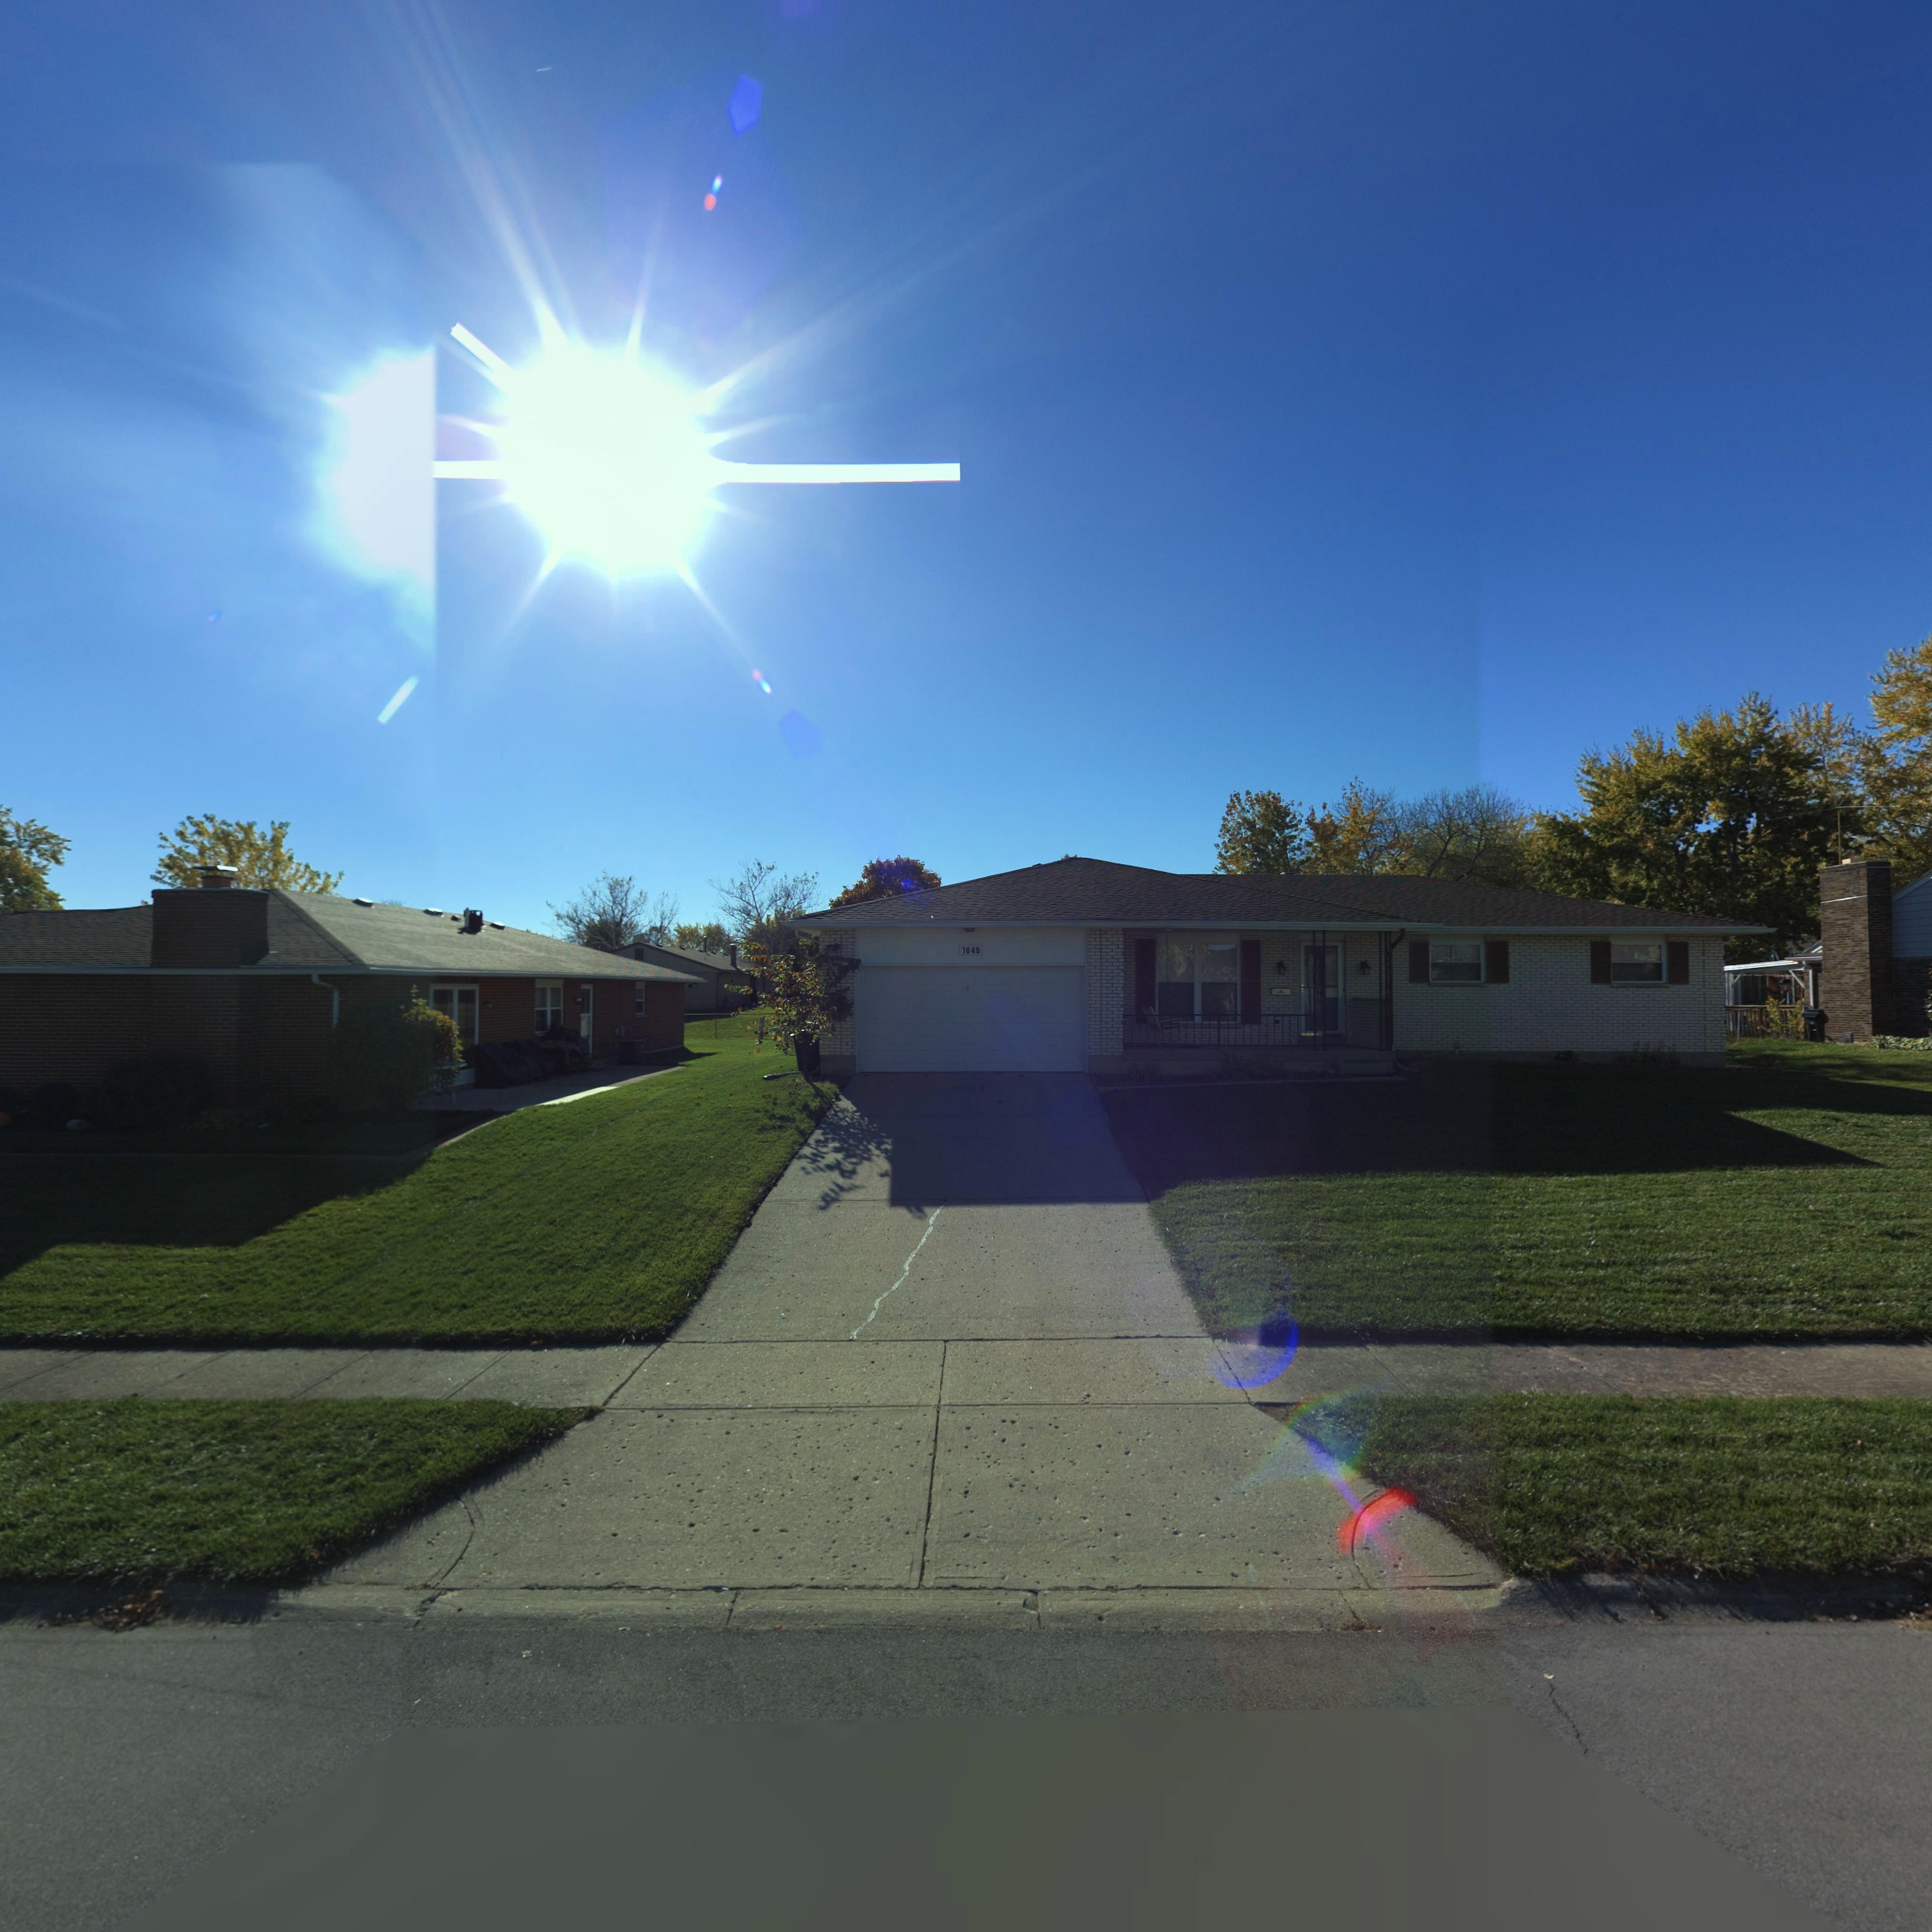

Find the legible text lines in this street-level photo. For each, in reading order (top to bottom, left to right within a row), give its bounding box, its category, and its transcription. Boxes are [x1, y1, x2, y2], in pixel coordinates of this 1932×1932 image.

[961, 947, 980, 954] StreetNumber: 7045